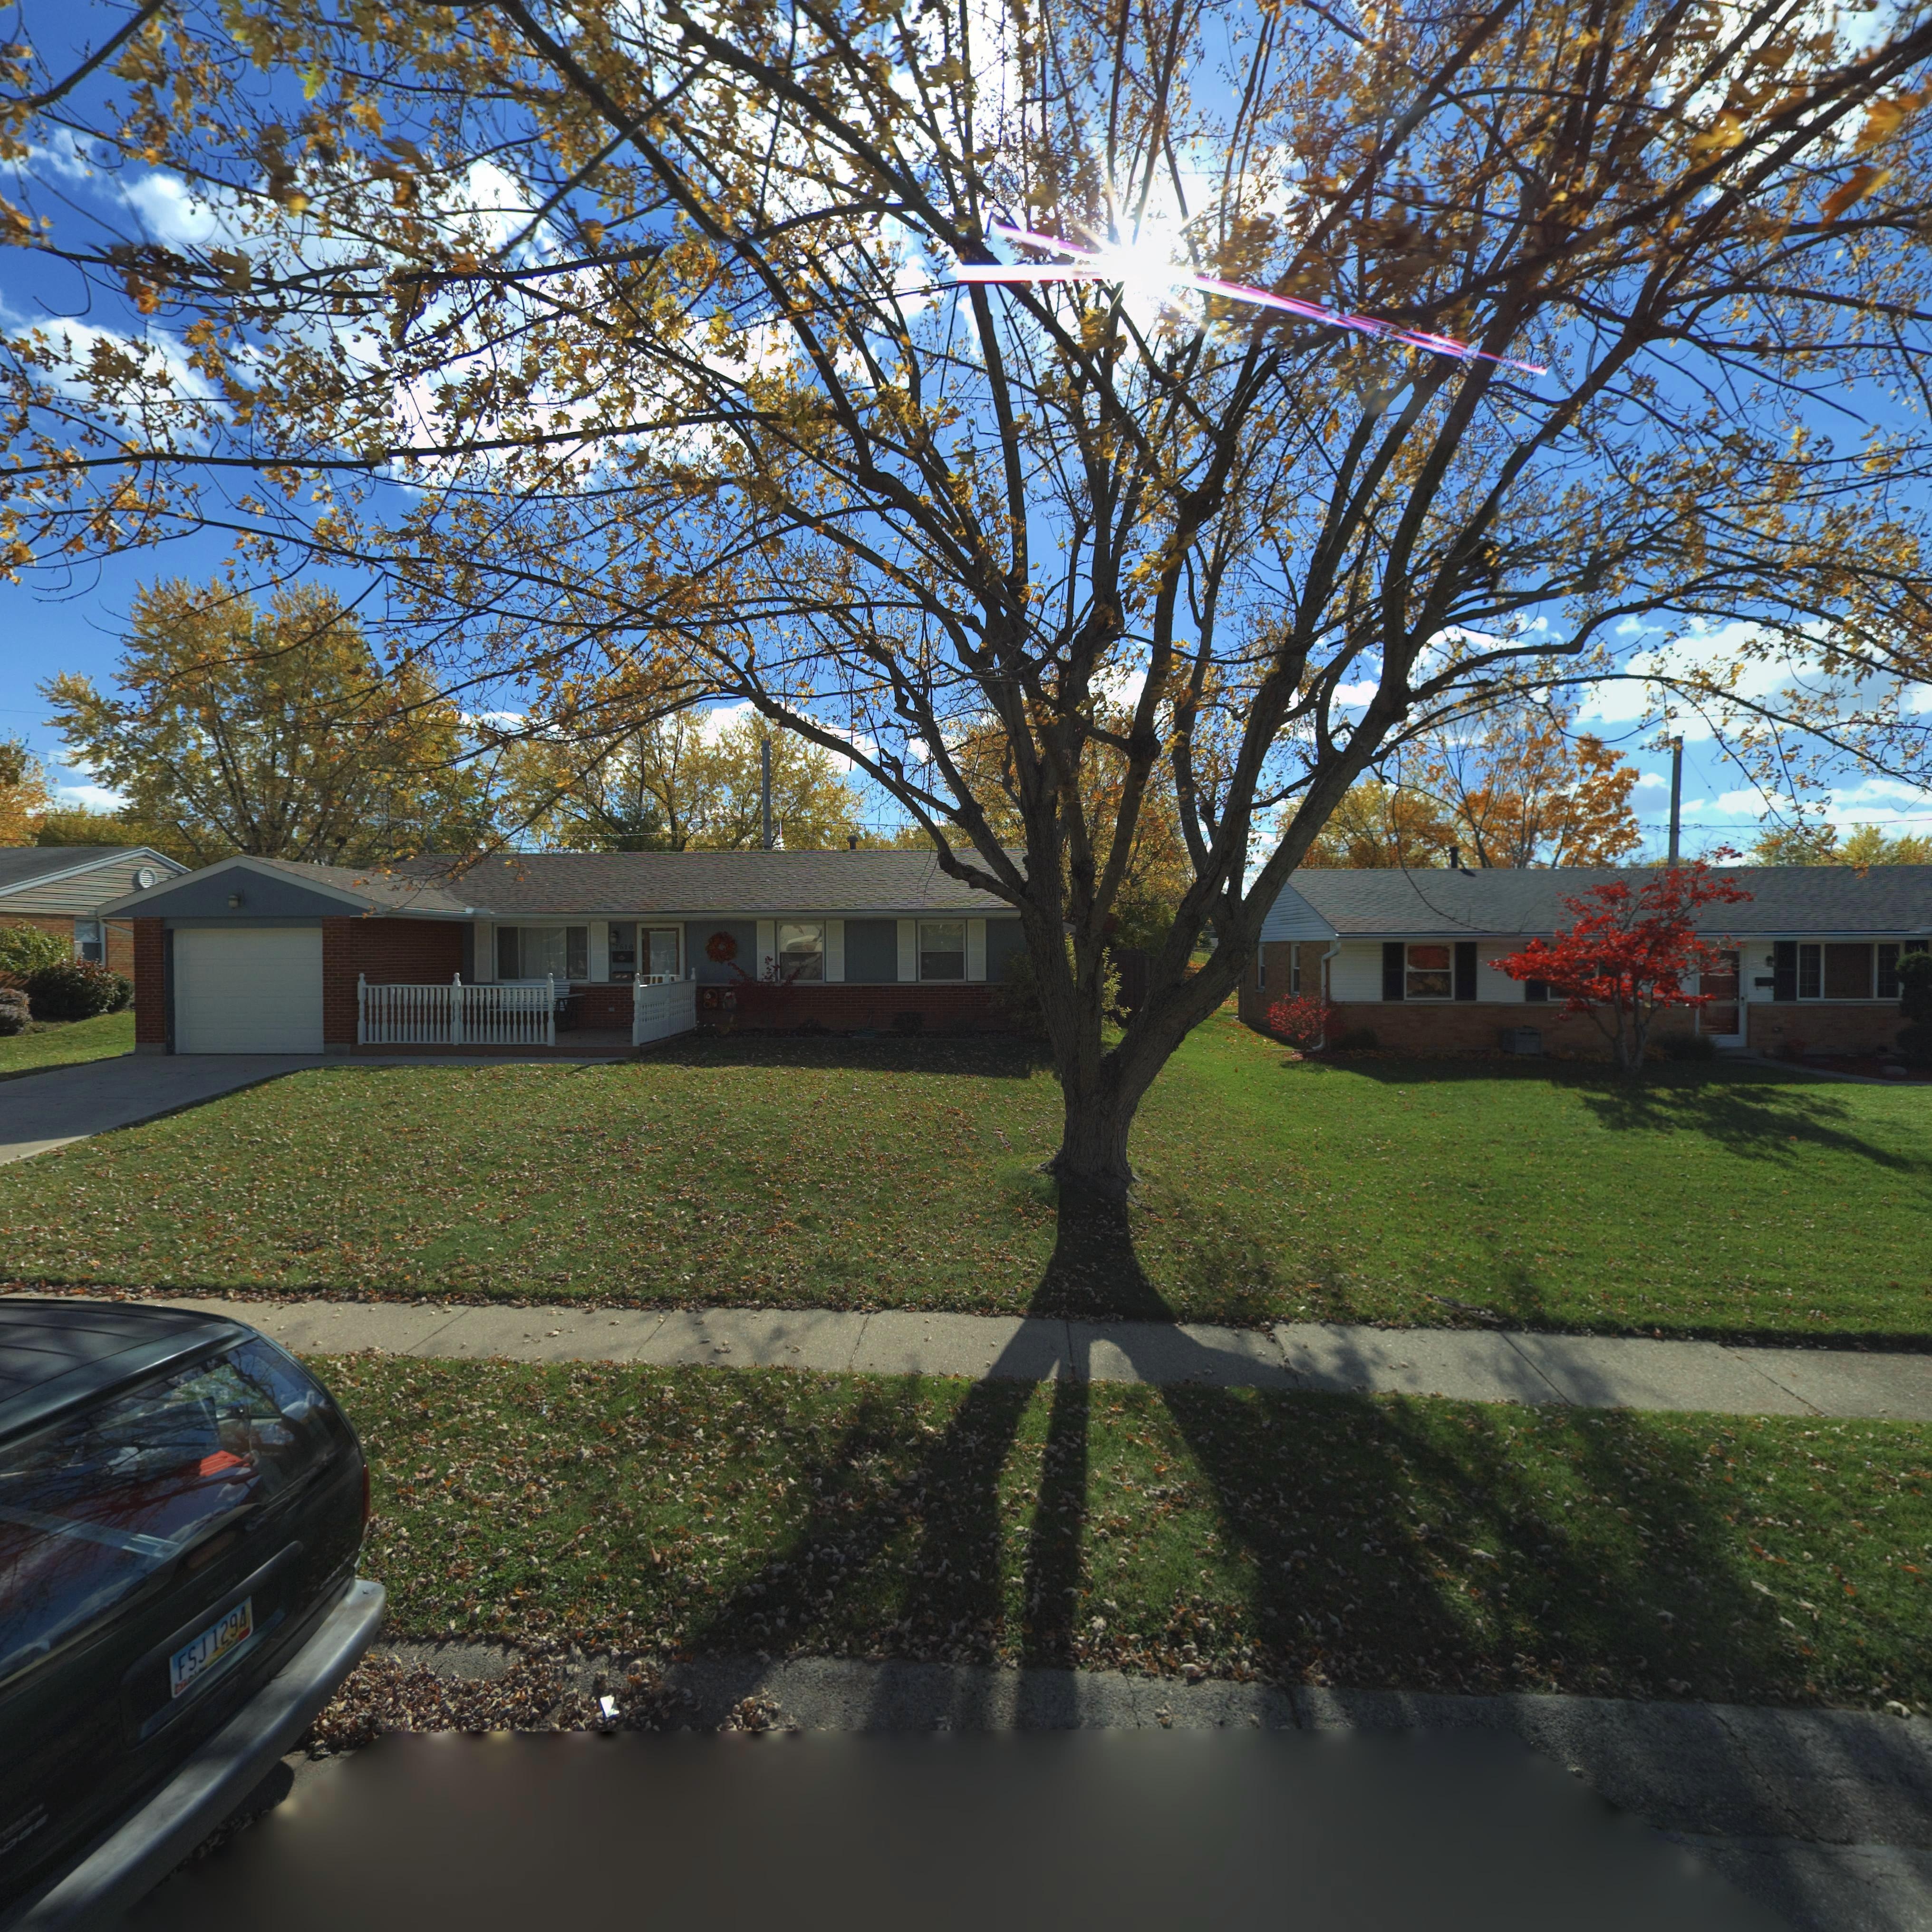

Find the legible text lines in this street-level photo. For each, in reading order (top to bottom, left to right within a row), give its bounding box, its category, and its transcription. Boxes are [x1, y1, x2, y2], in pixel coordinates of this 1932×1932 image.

[613, 944, 634, 950] StreetNumber: 7618